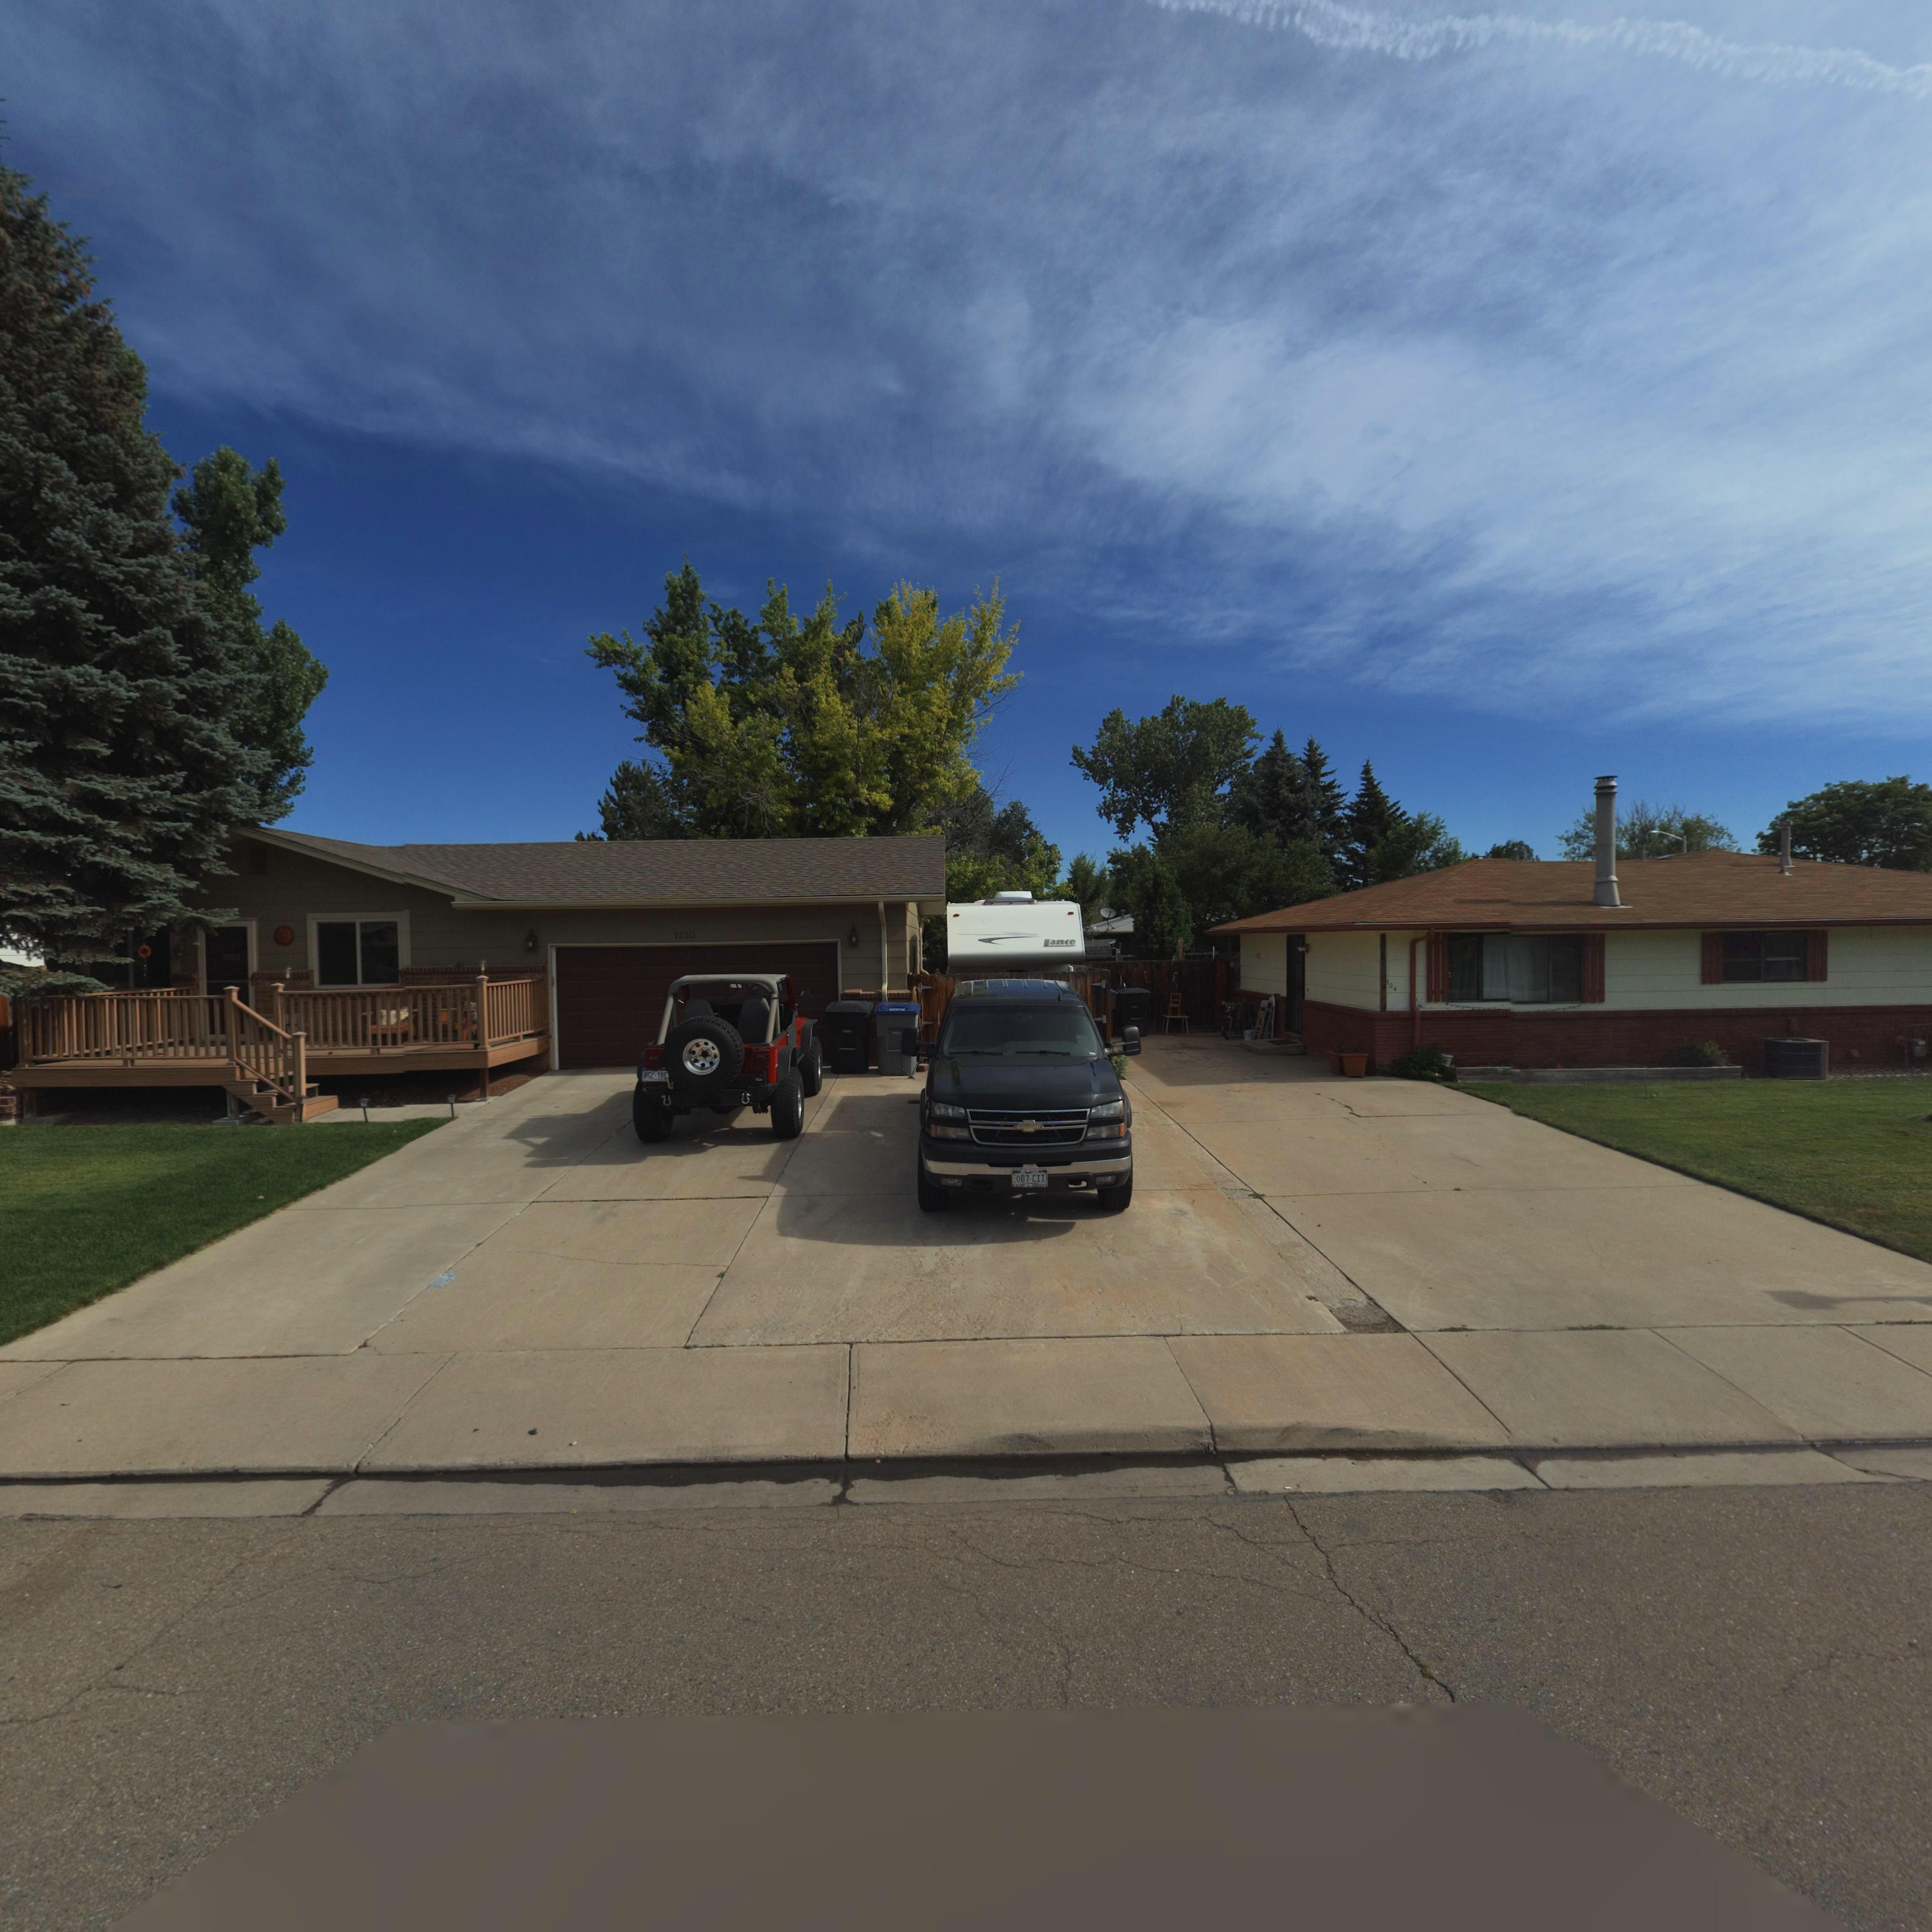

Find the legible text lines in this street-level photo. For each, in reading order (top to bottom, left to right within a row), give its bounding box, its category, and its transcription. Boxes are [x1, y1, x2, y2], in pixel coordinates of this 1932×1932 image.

[674, 930, 696, 939] StreetNumber: 1310
[1385, 979, 1397, 991] StreetNumber: 304